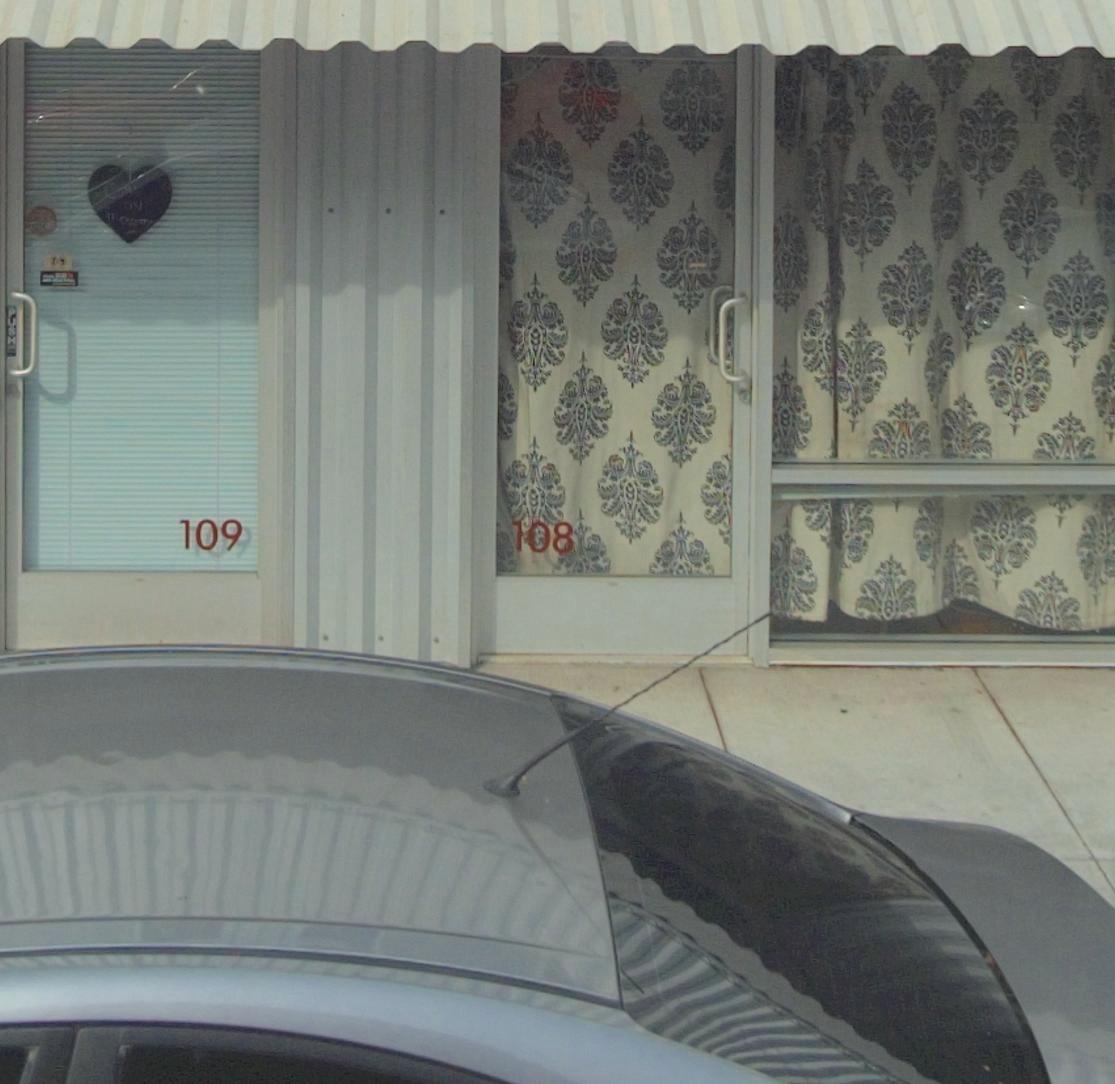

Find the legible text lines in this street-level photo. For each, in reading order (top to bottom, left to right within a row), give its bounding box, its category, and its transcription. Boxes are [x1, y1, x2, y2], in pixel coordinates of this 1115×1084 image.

[6, 305, 17, 347] None: PUSH
[176, 517, 246, 554] StreetNumber: 109
[511, 518, 575, 556] StreetNumber: 108